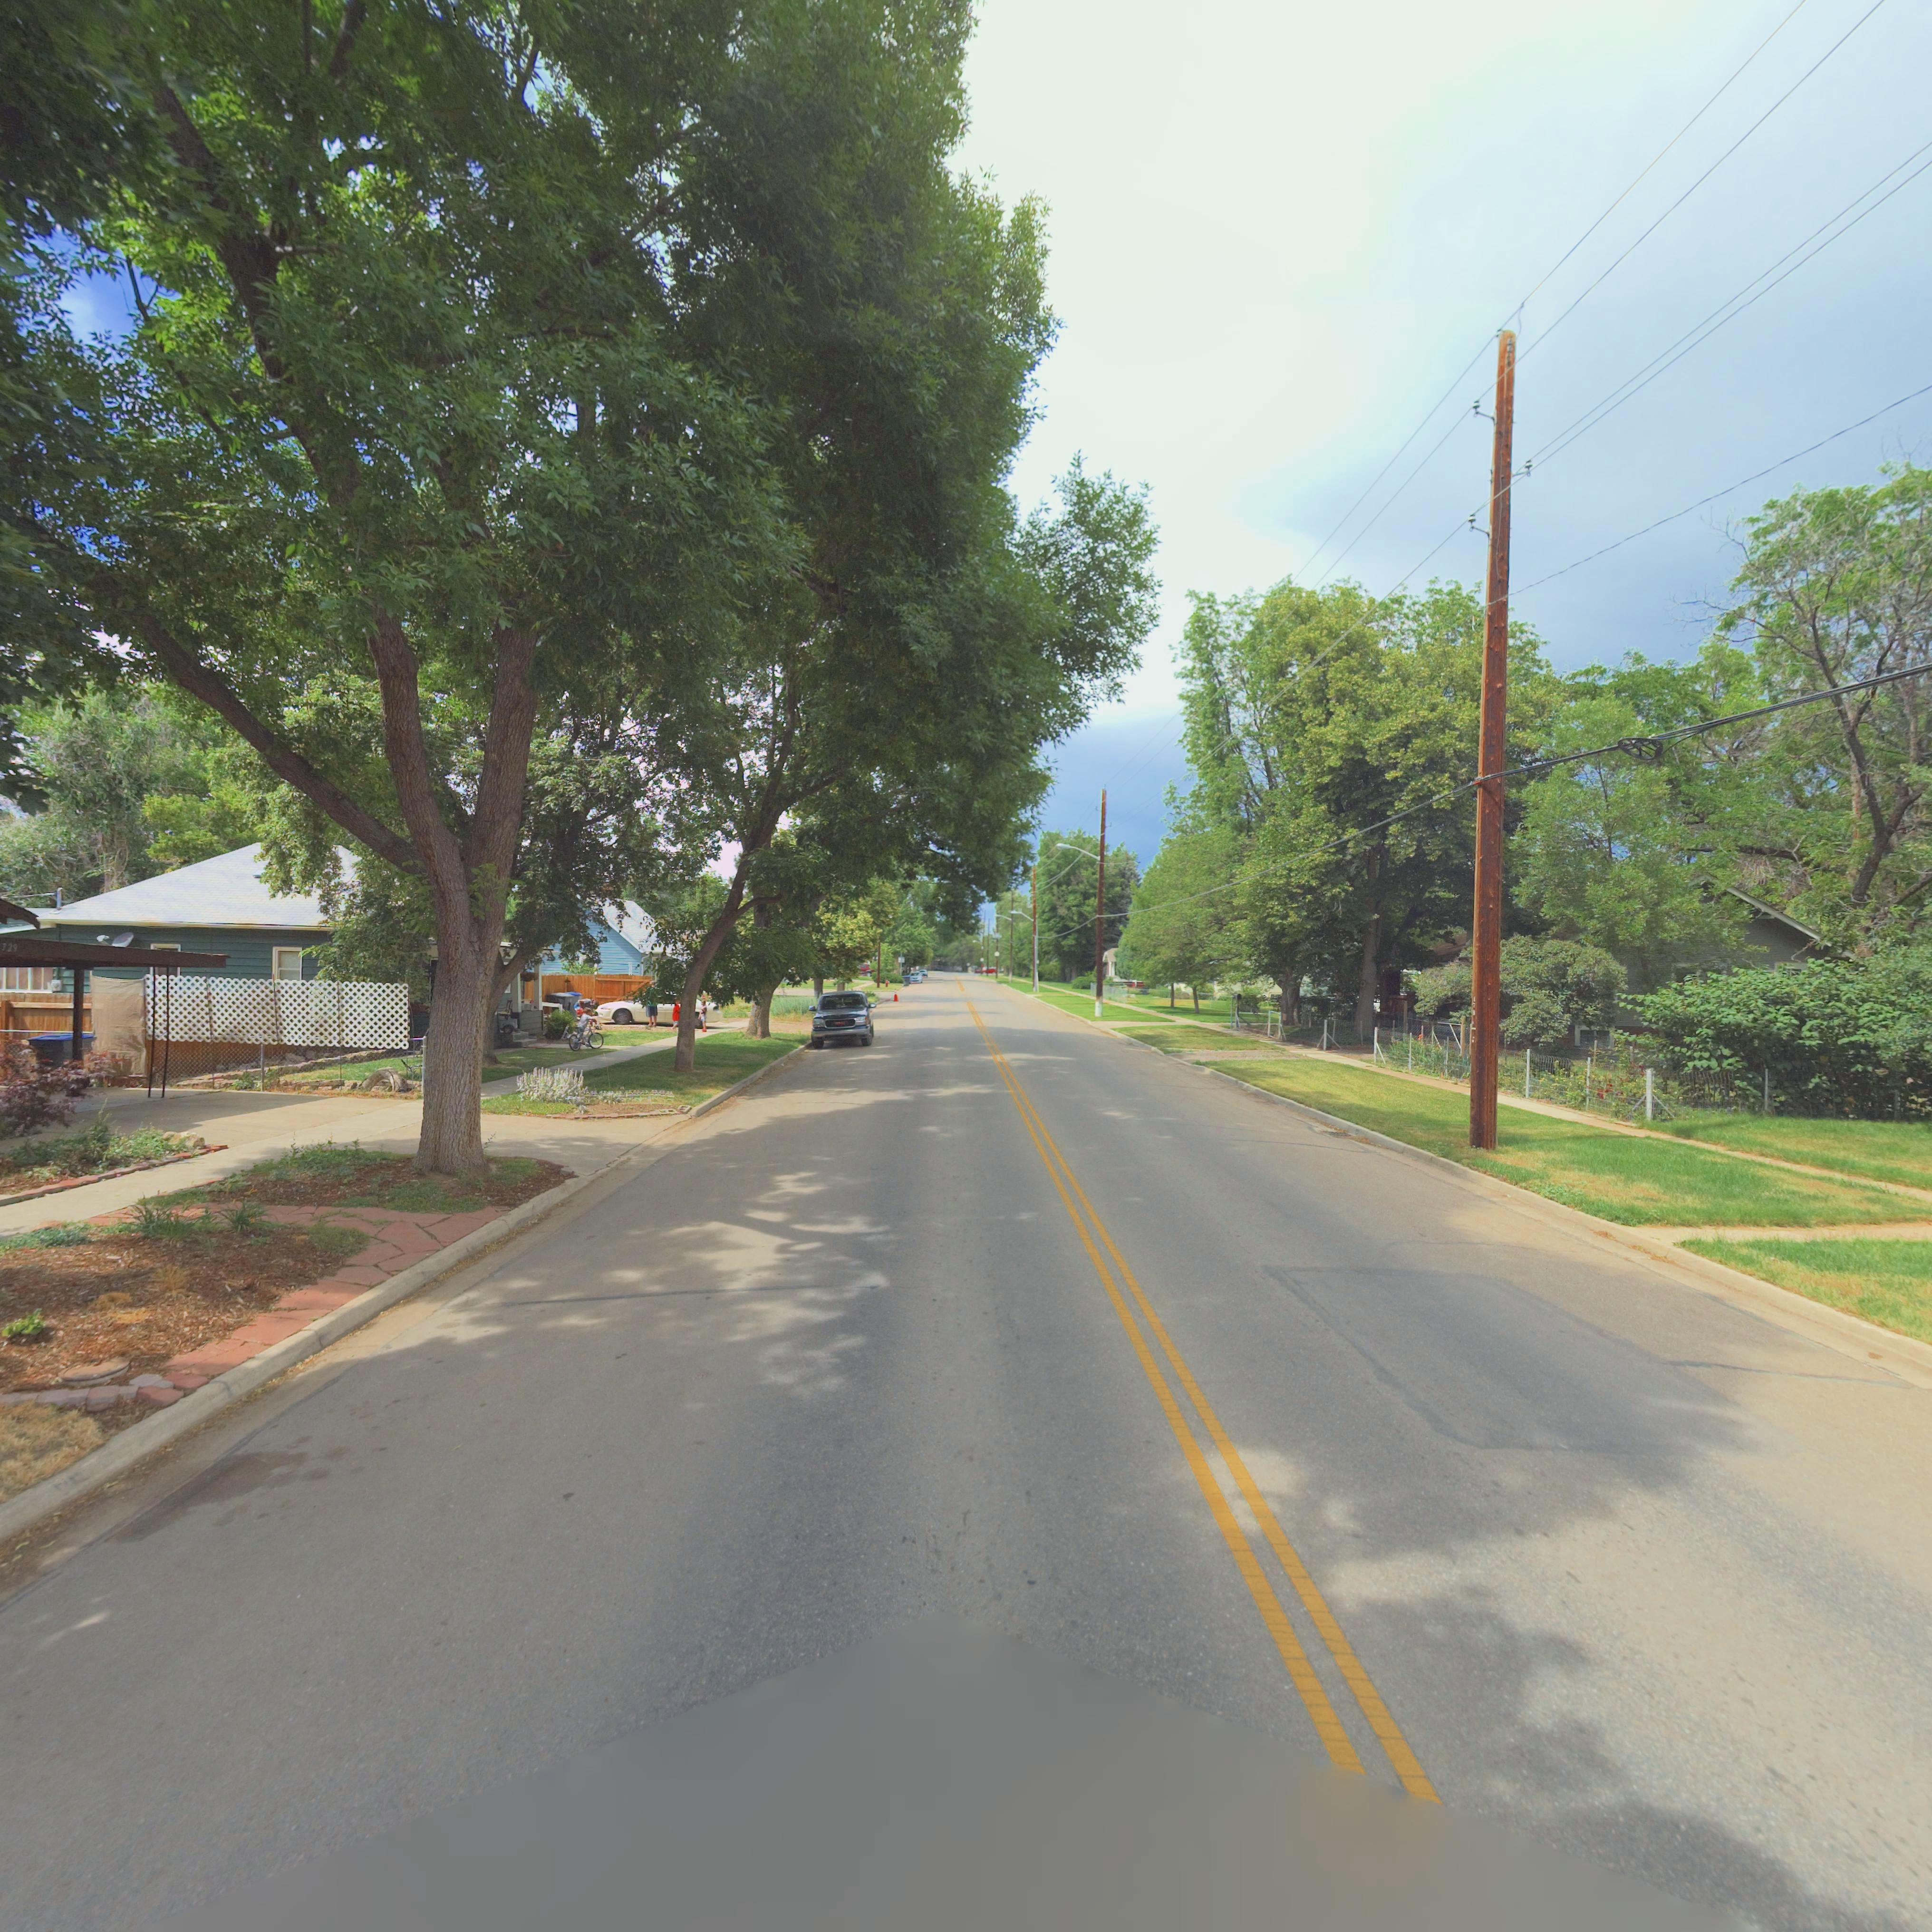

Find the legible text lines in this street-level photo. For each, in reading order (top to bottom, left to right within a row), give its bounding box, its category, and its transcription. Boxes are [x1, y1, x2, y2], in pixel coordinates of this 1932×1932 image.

[1, 942, 18, 952] StreetNumber: 729